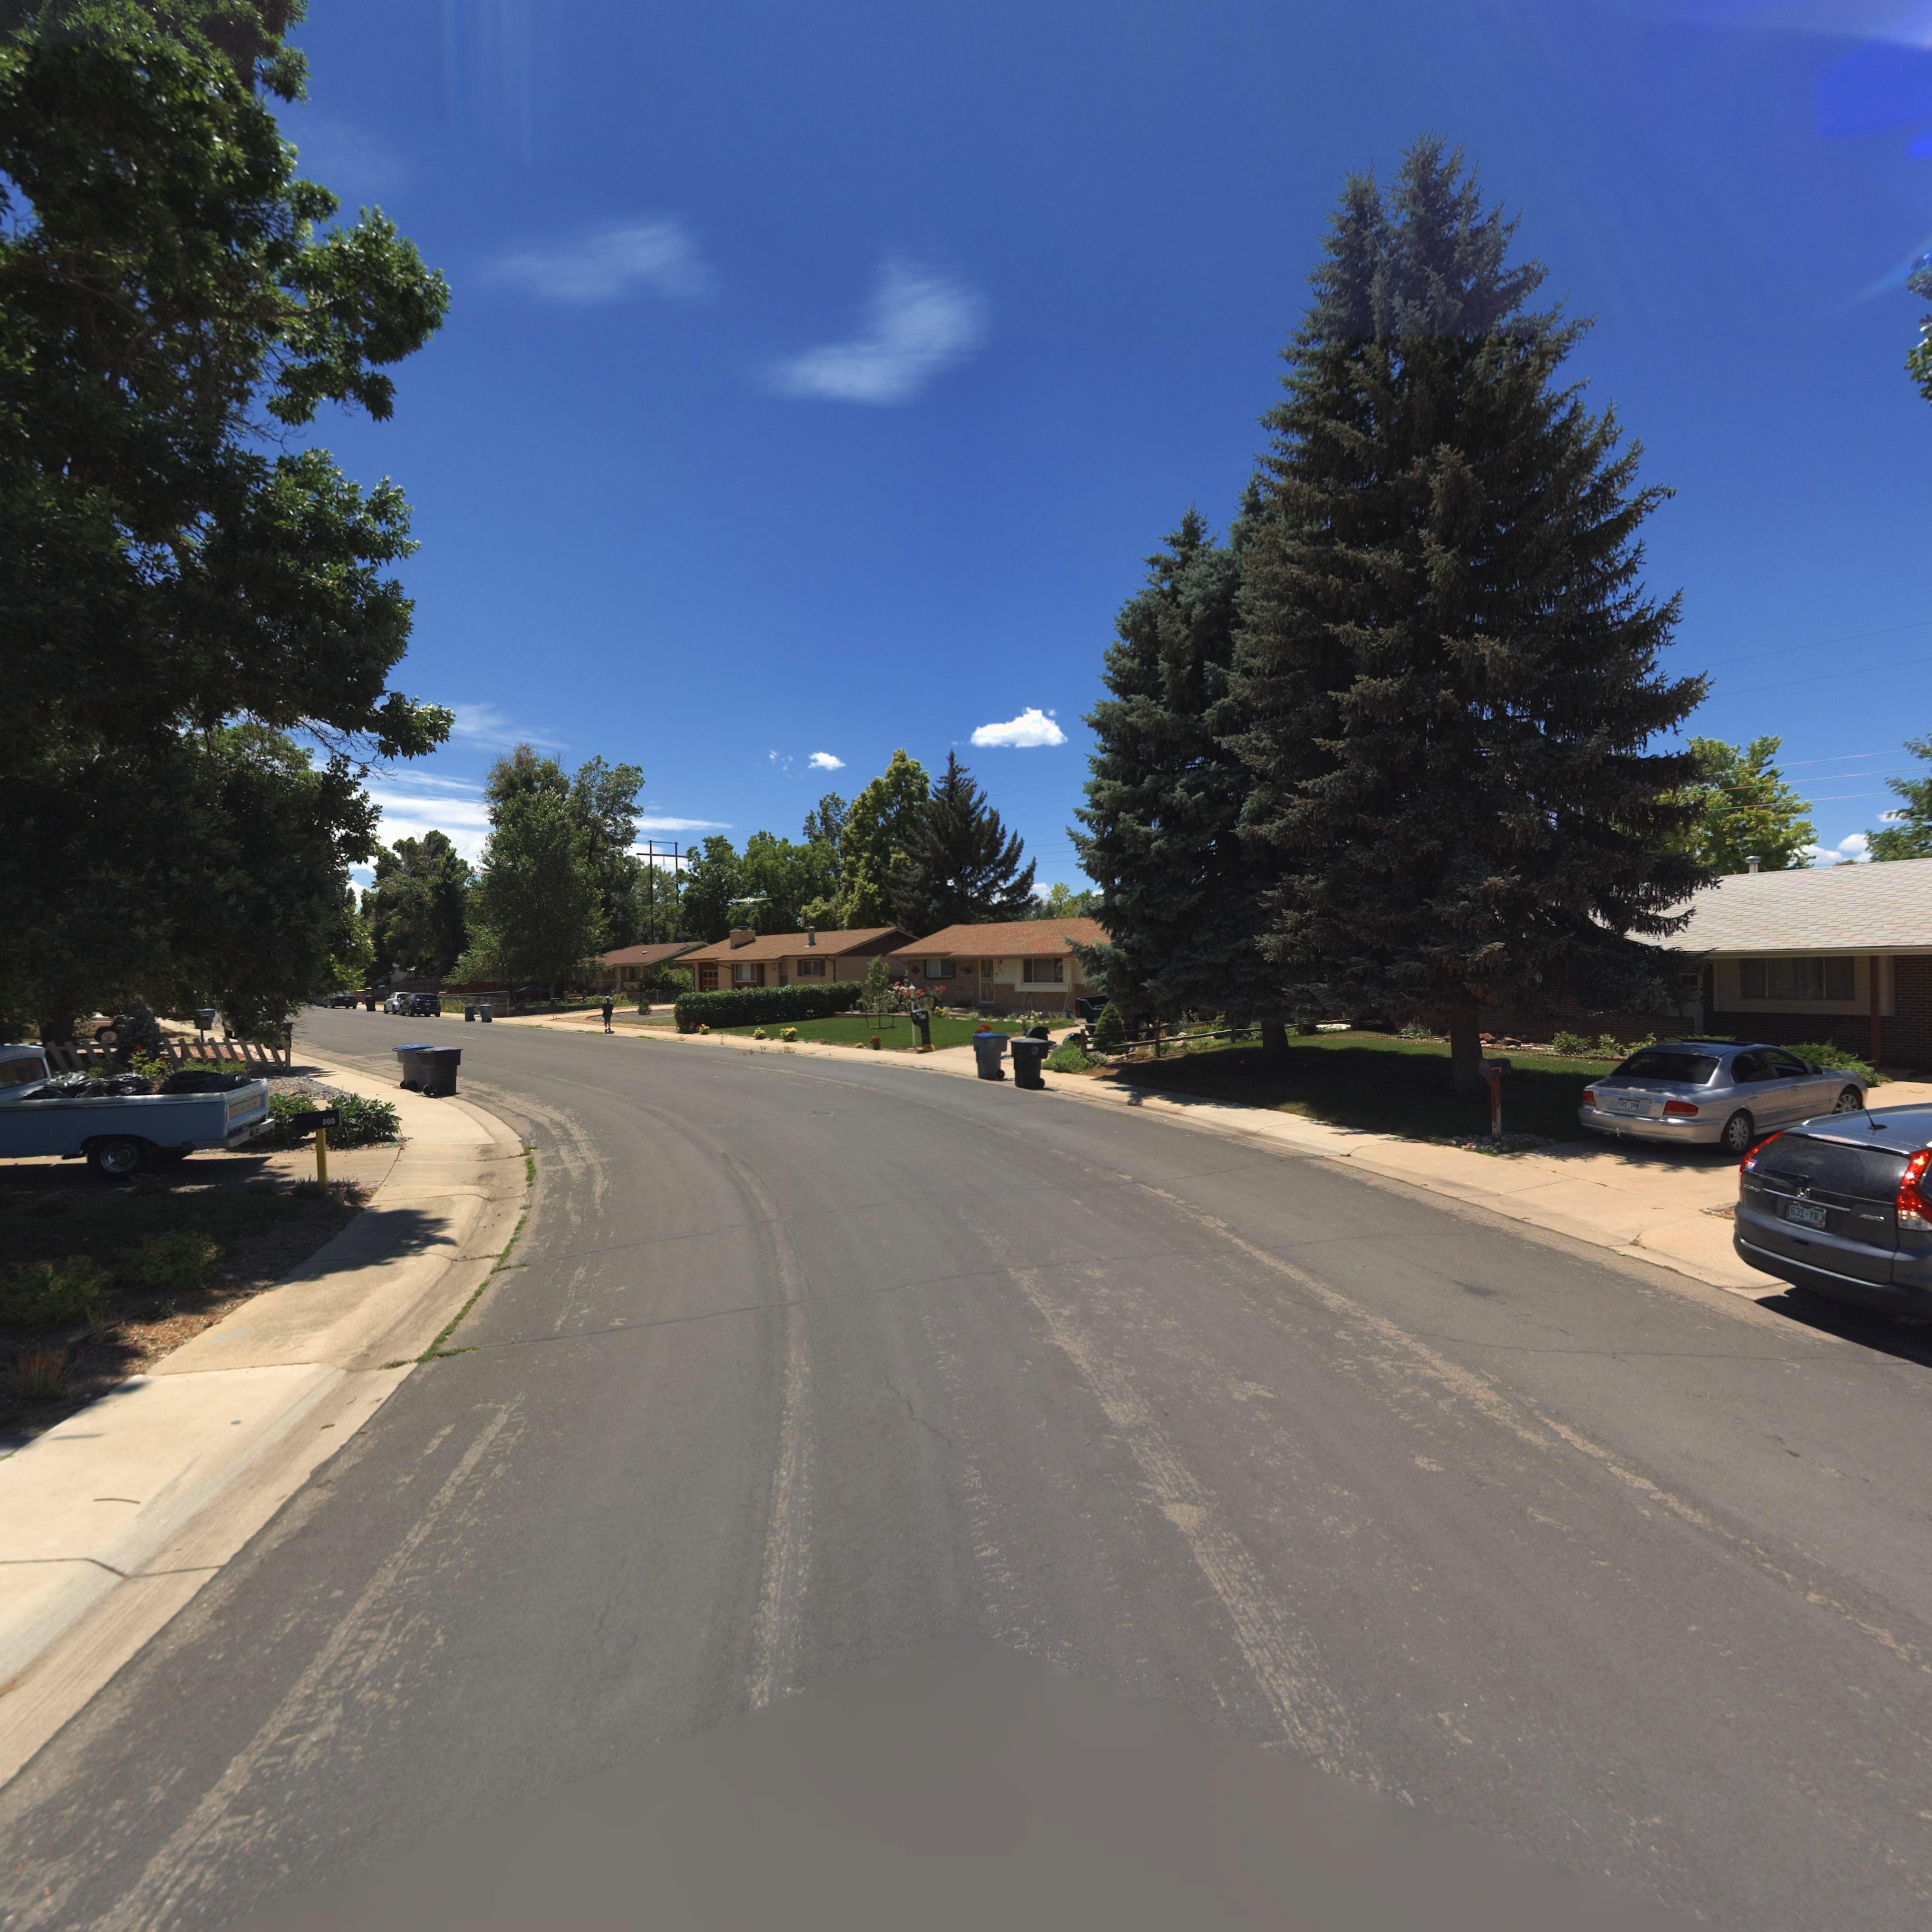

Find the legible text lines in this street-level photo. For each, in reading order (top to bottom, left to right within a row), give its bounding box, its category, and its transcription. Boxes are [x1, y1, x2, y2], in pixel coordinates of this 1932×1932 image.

[996, 965, 1004, 974] StreetNumber: 8**
[322, 1117, 335, 1125] StreetNumber: 800